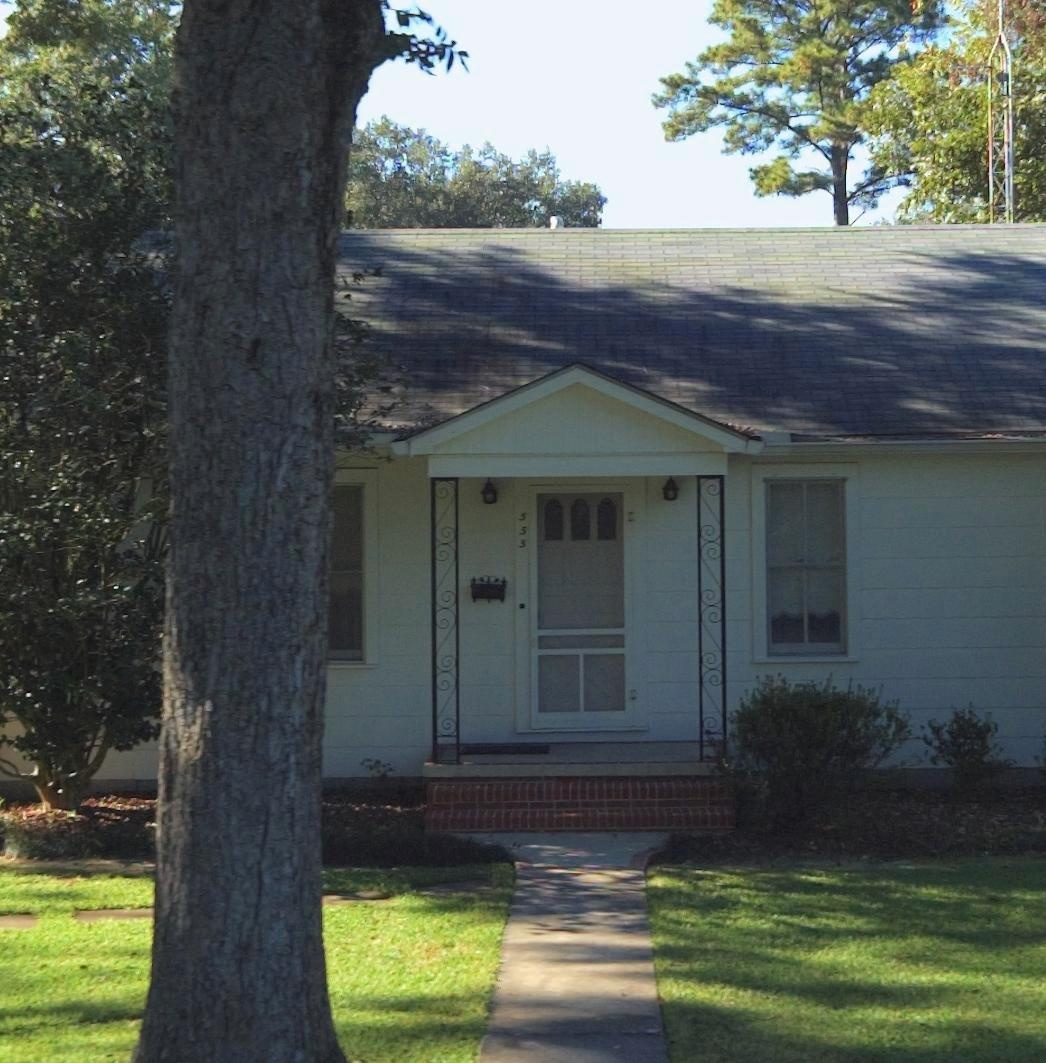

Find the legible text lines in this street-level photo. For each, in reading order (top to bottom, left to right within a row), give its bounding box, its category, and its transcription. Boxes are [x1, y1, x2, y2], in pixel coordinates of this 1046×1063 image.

[516, 510, 530, 550] StreetNumber: 555